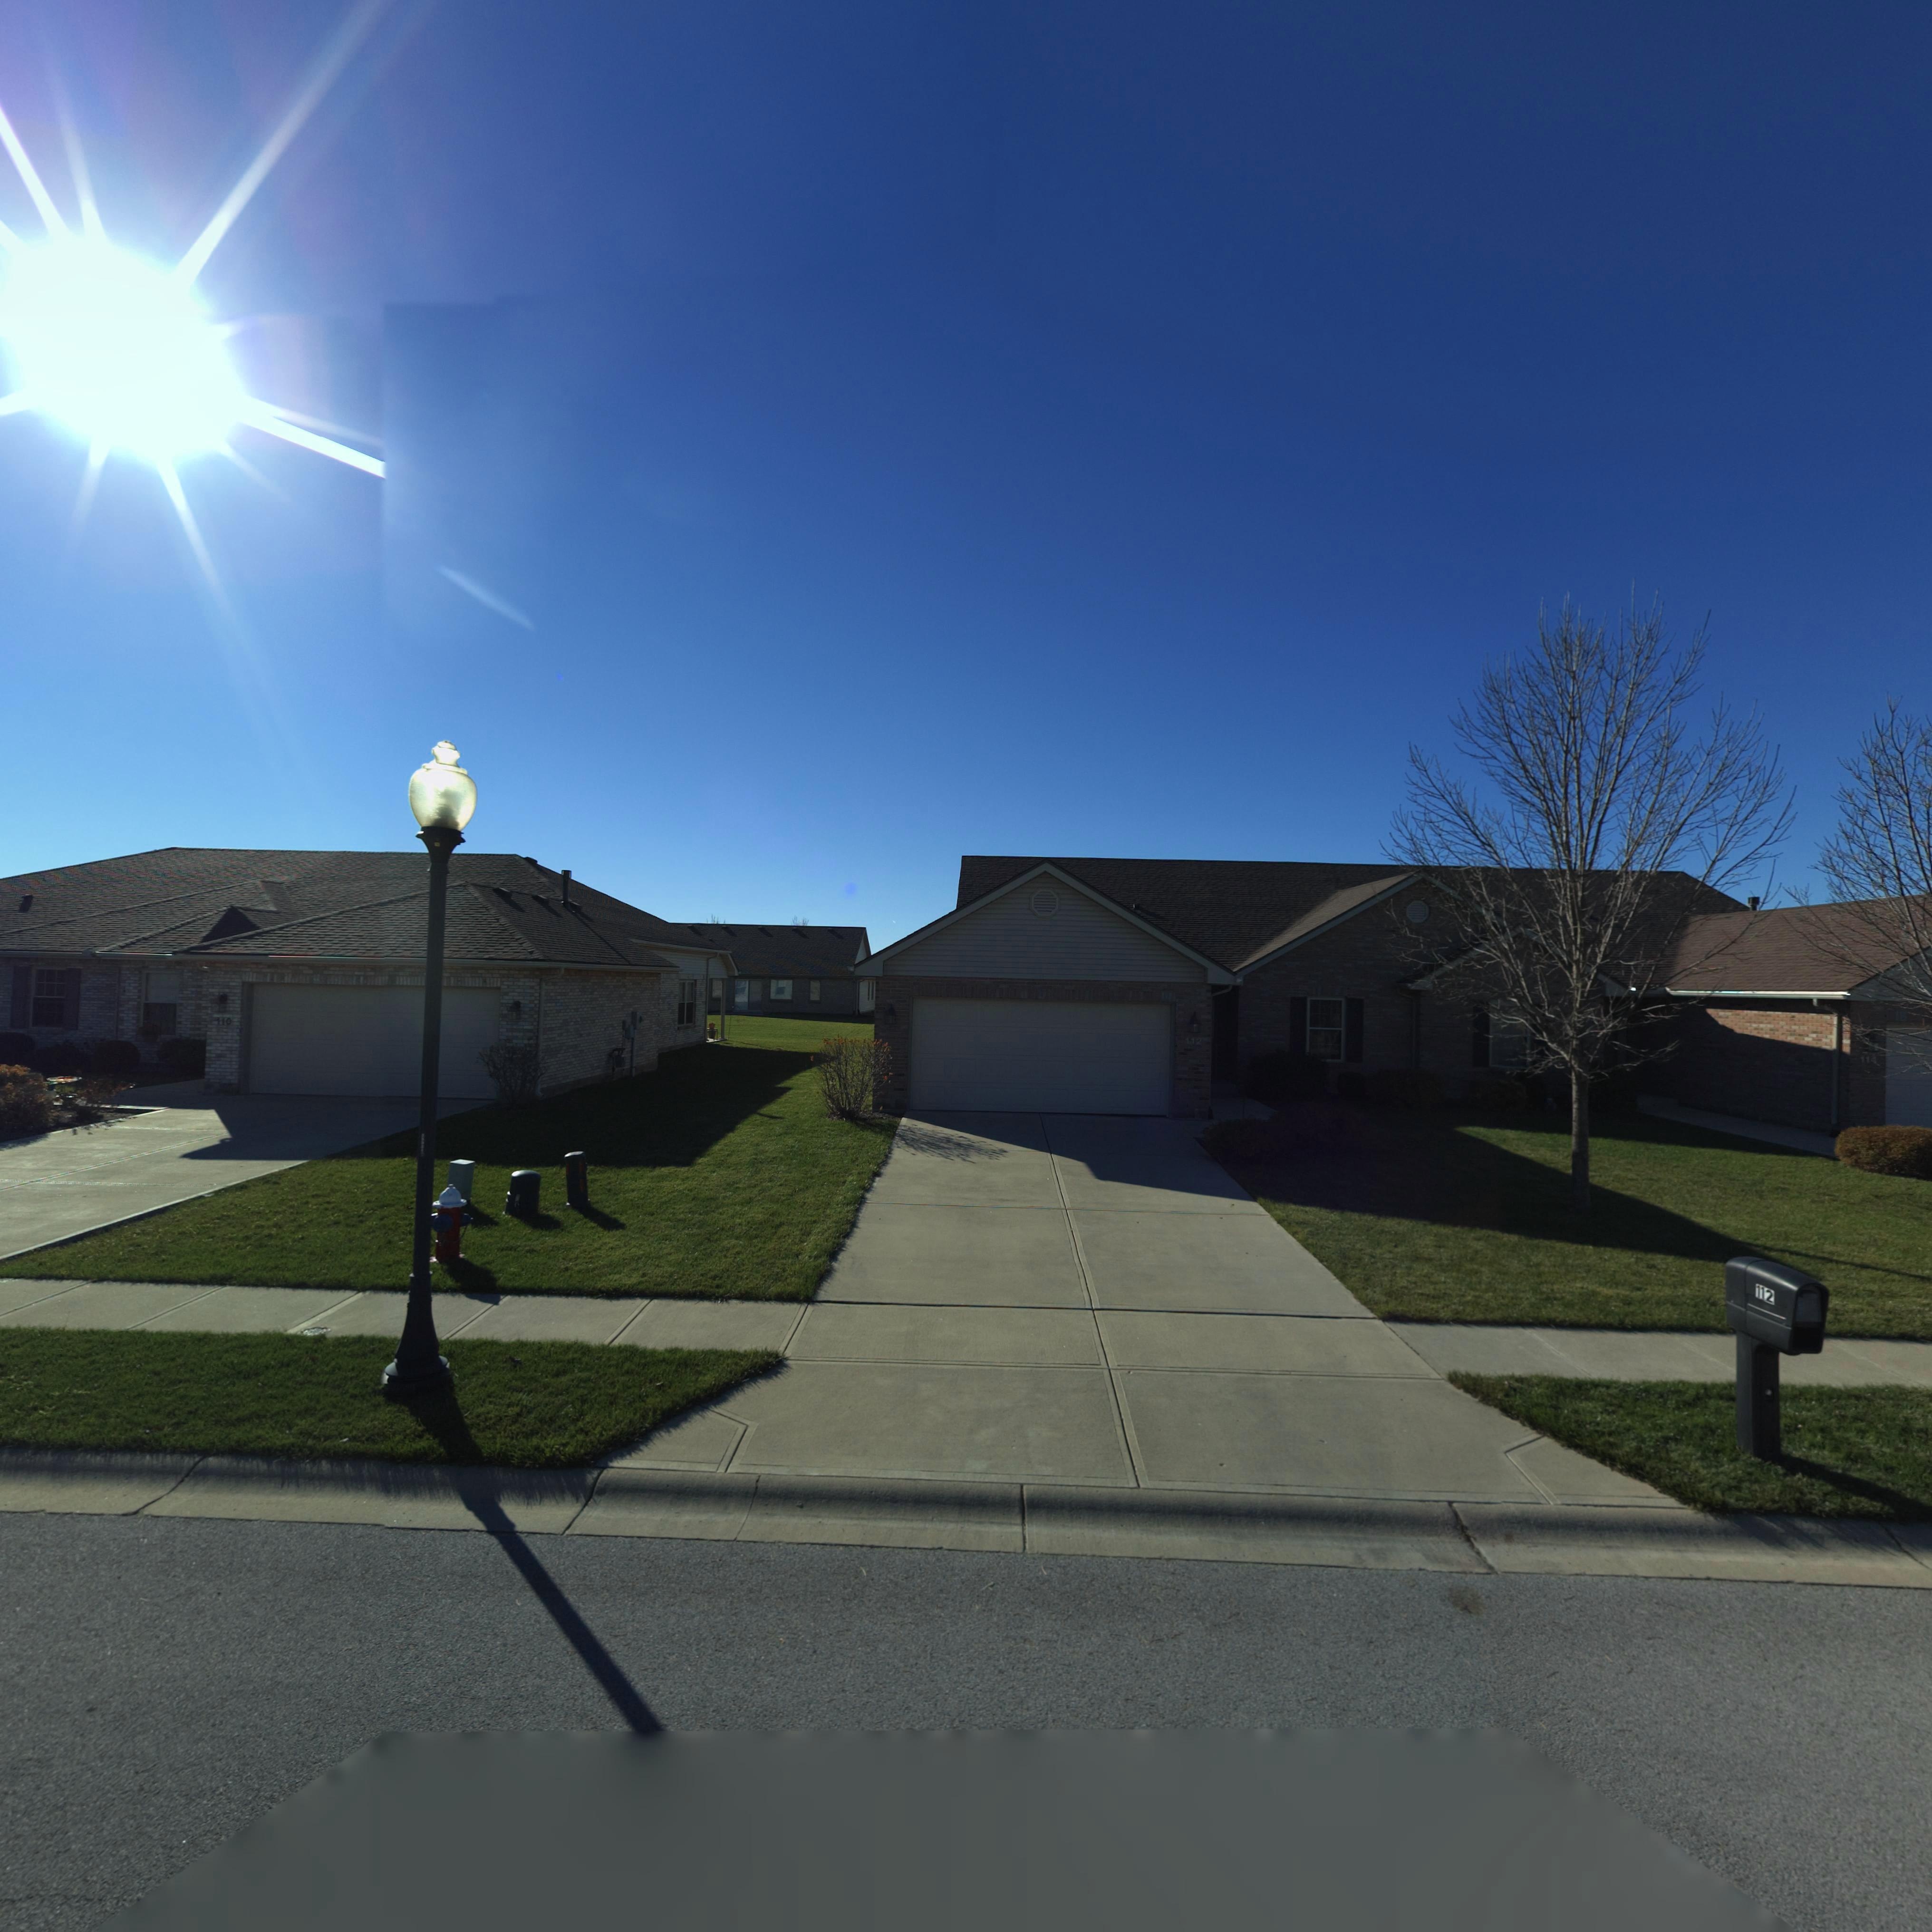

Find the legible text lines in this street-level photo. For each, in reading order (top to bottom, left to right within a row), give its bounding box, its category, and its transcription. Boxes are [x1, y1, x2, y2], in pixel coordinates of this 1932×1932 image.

[215, 1016, 233, 1026] StreetNumber: 110
[1184, 1036, 1203, 1046] StreetNumber: 112
[1755, 1283, 1774, 1305] StreetNumber: 112